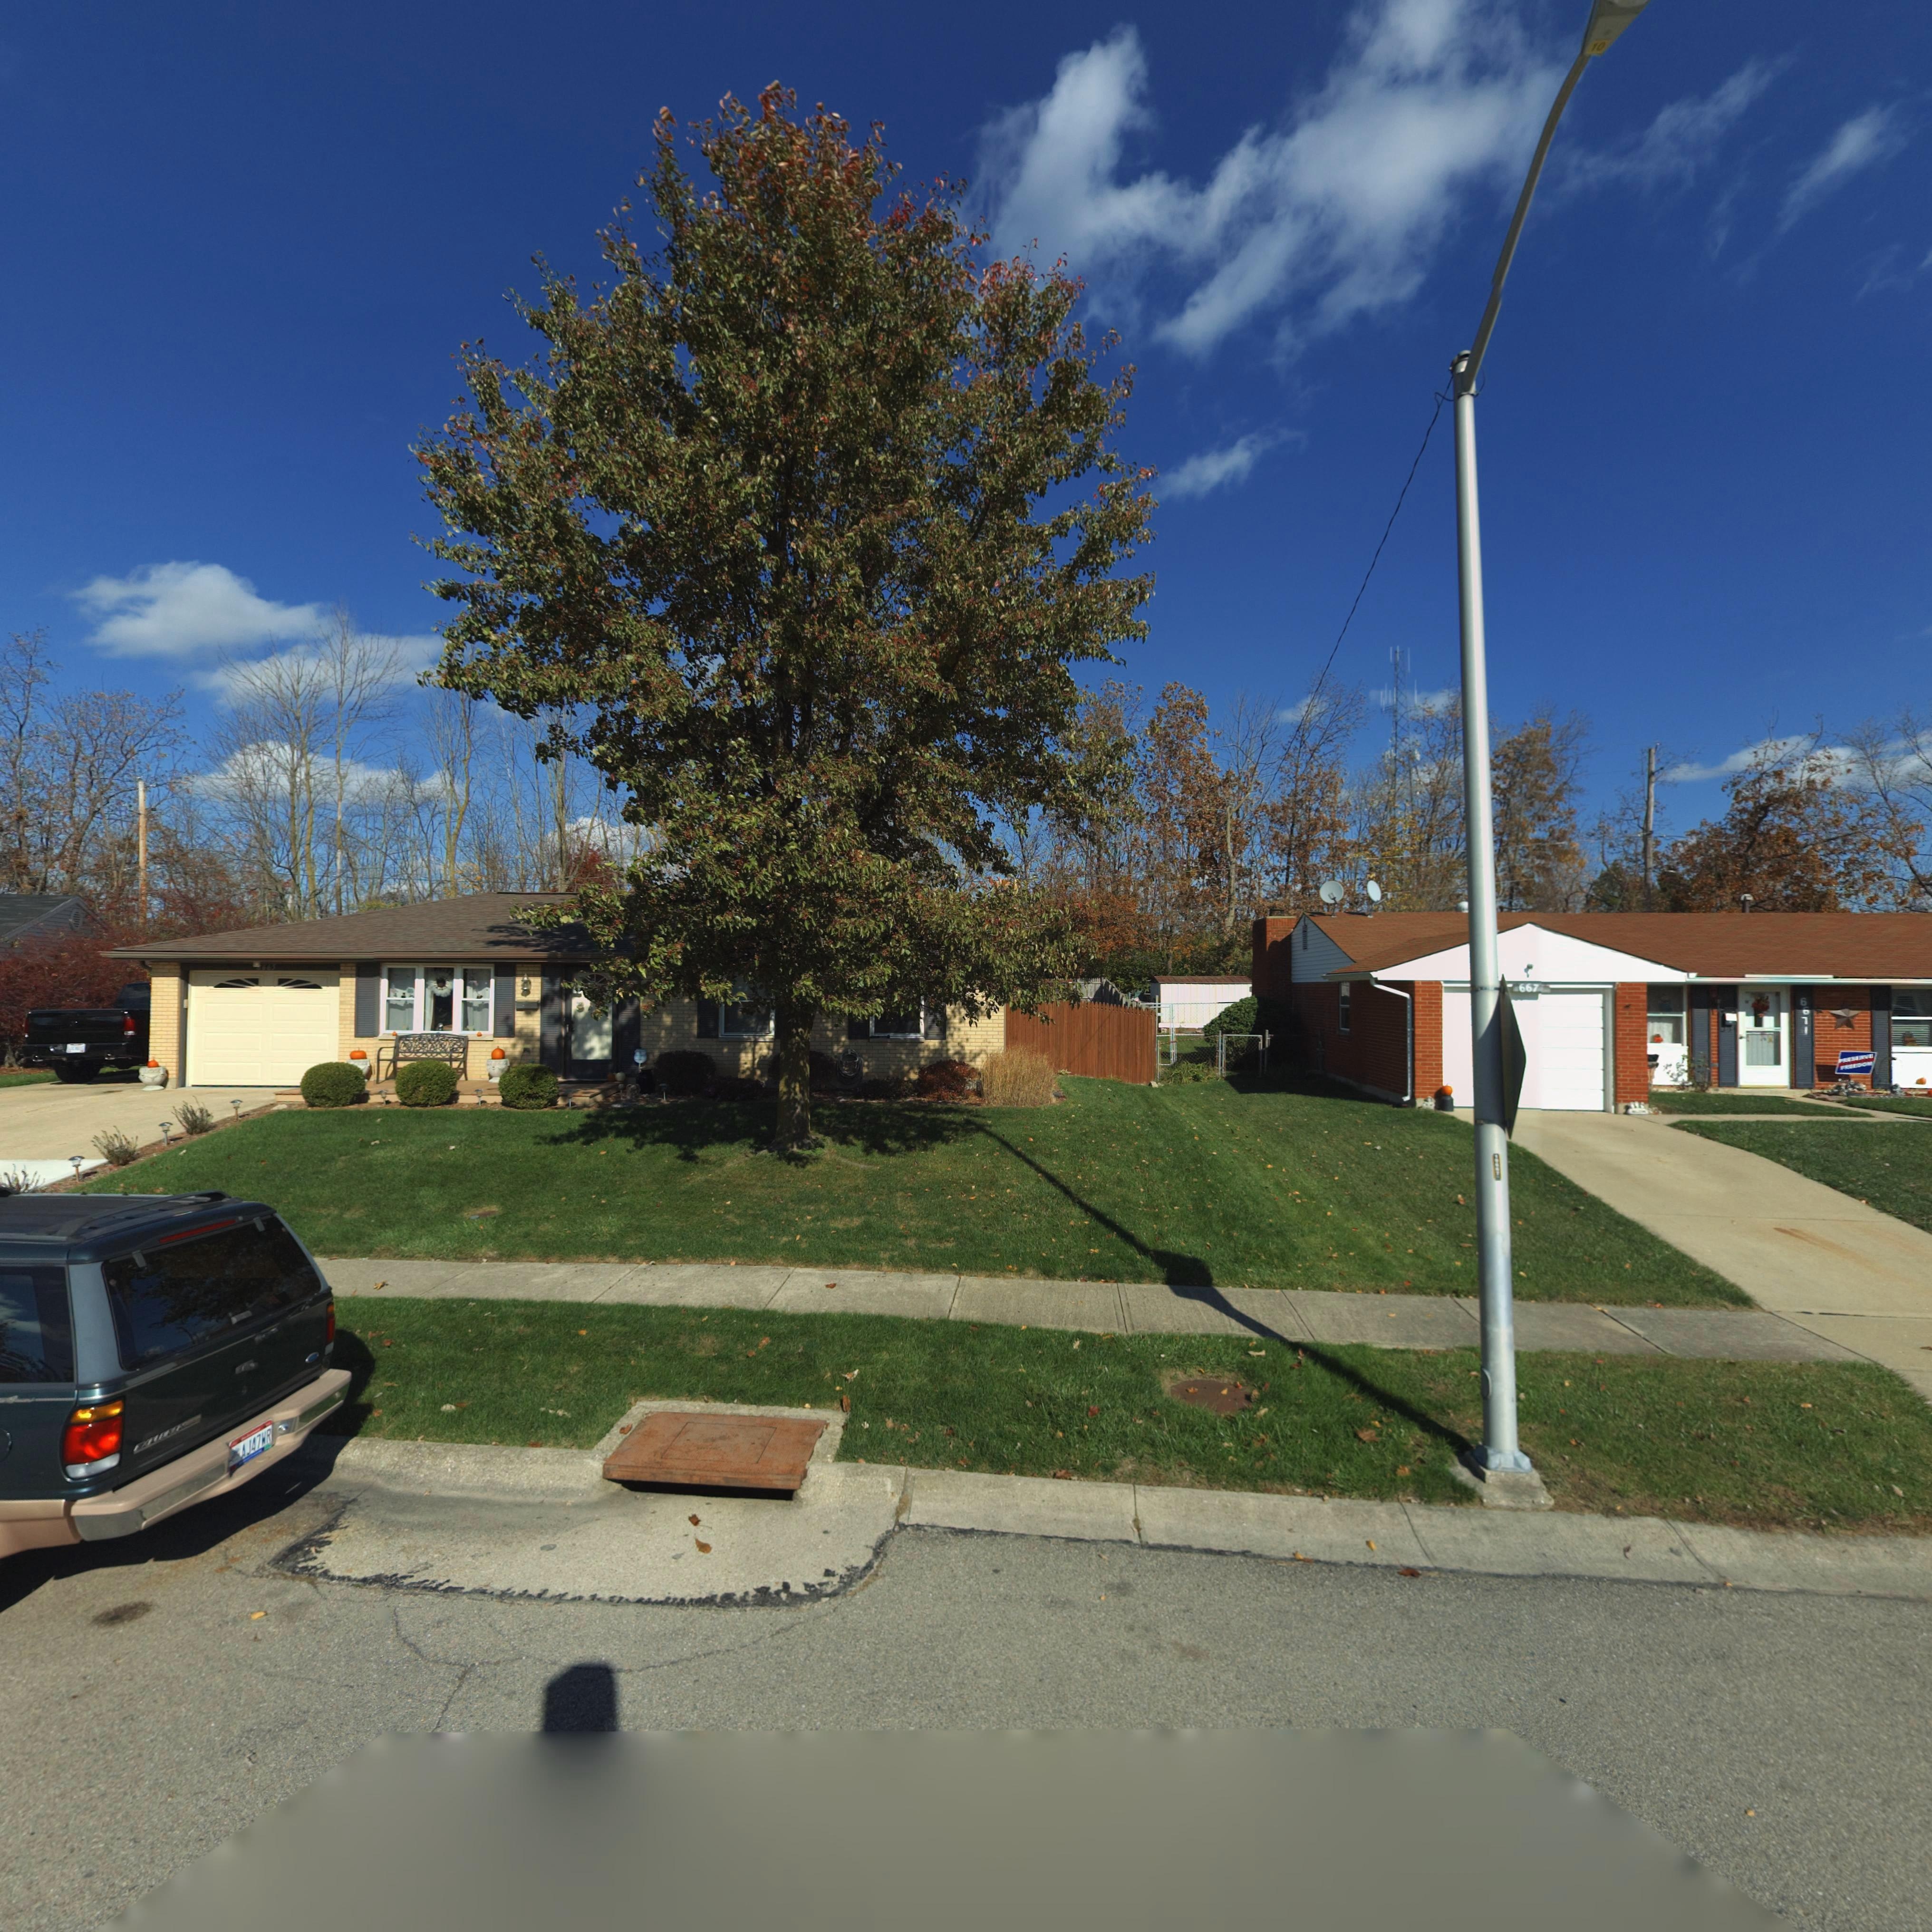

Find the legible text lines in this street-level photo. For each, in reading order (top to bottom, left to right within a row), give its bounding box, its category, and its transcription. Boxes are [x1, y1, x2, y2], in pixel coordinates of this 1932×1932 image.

[261, 964, 277, 971] StreetNumber: 665
[1518, 983, 1541, 993] StreetNumber: 667
[1799, 997, 1811, 1035] StreetNumber: 6671